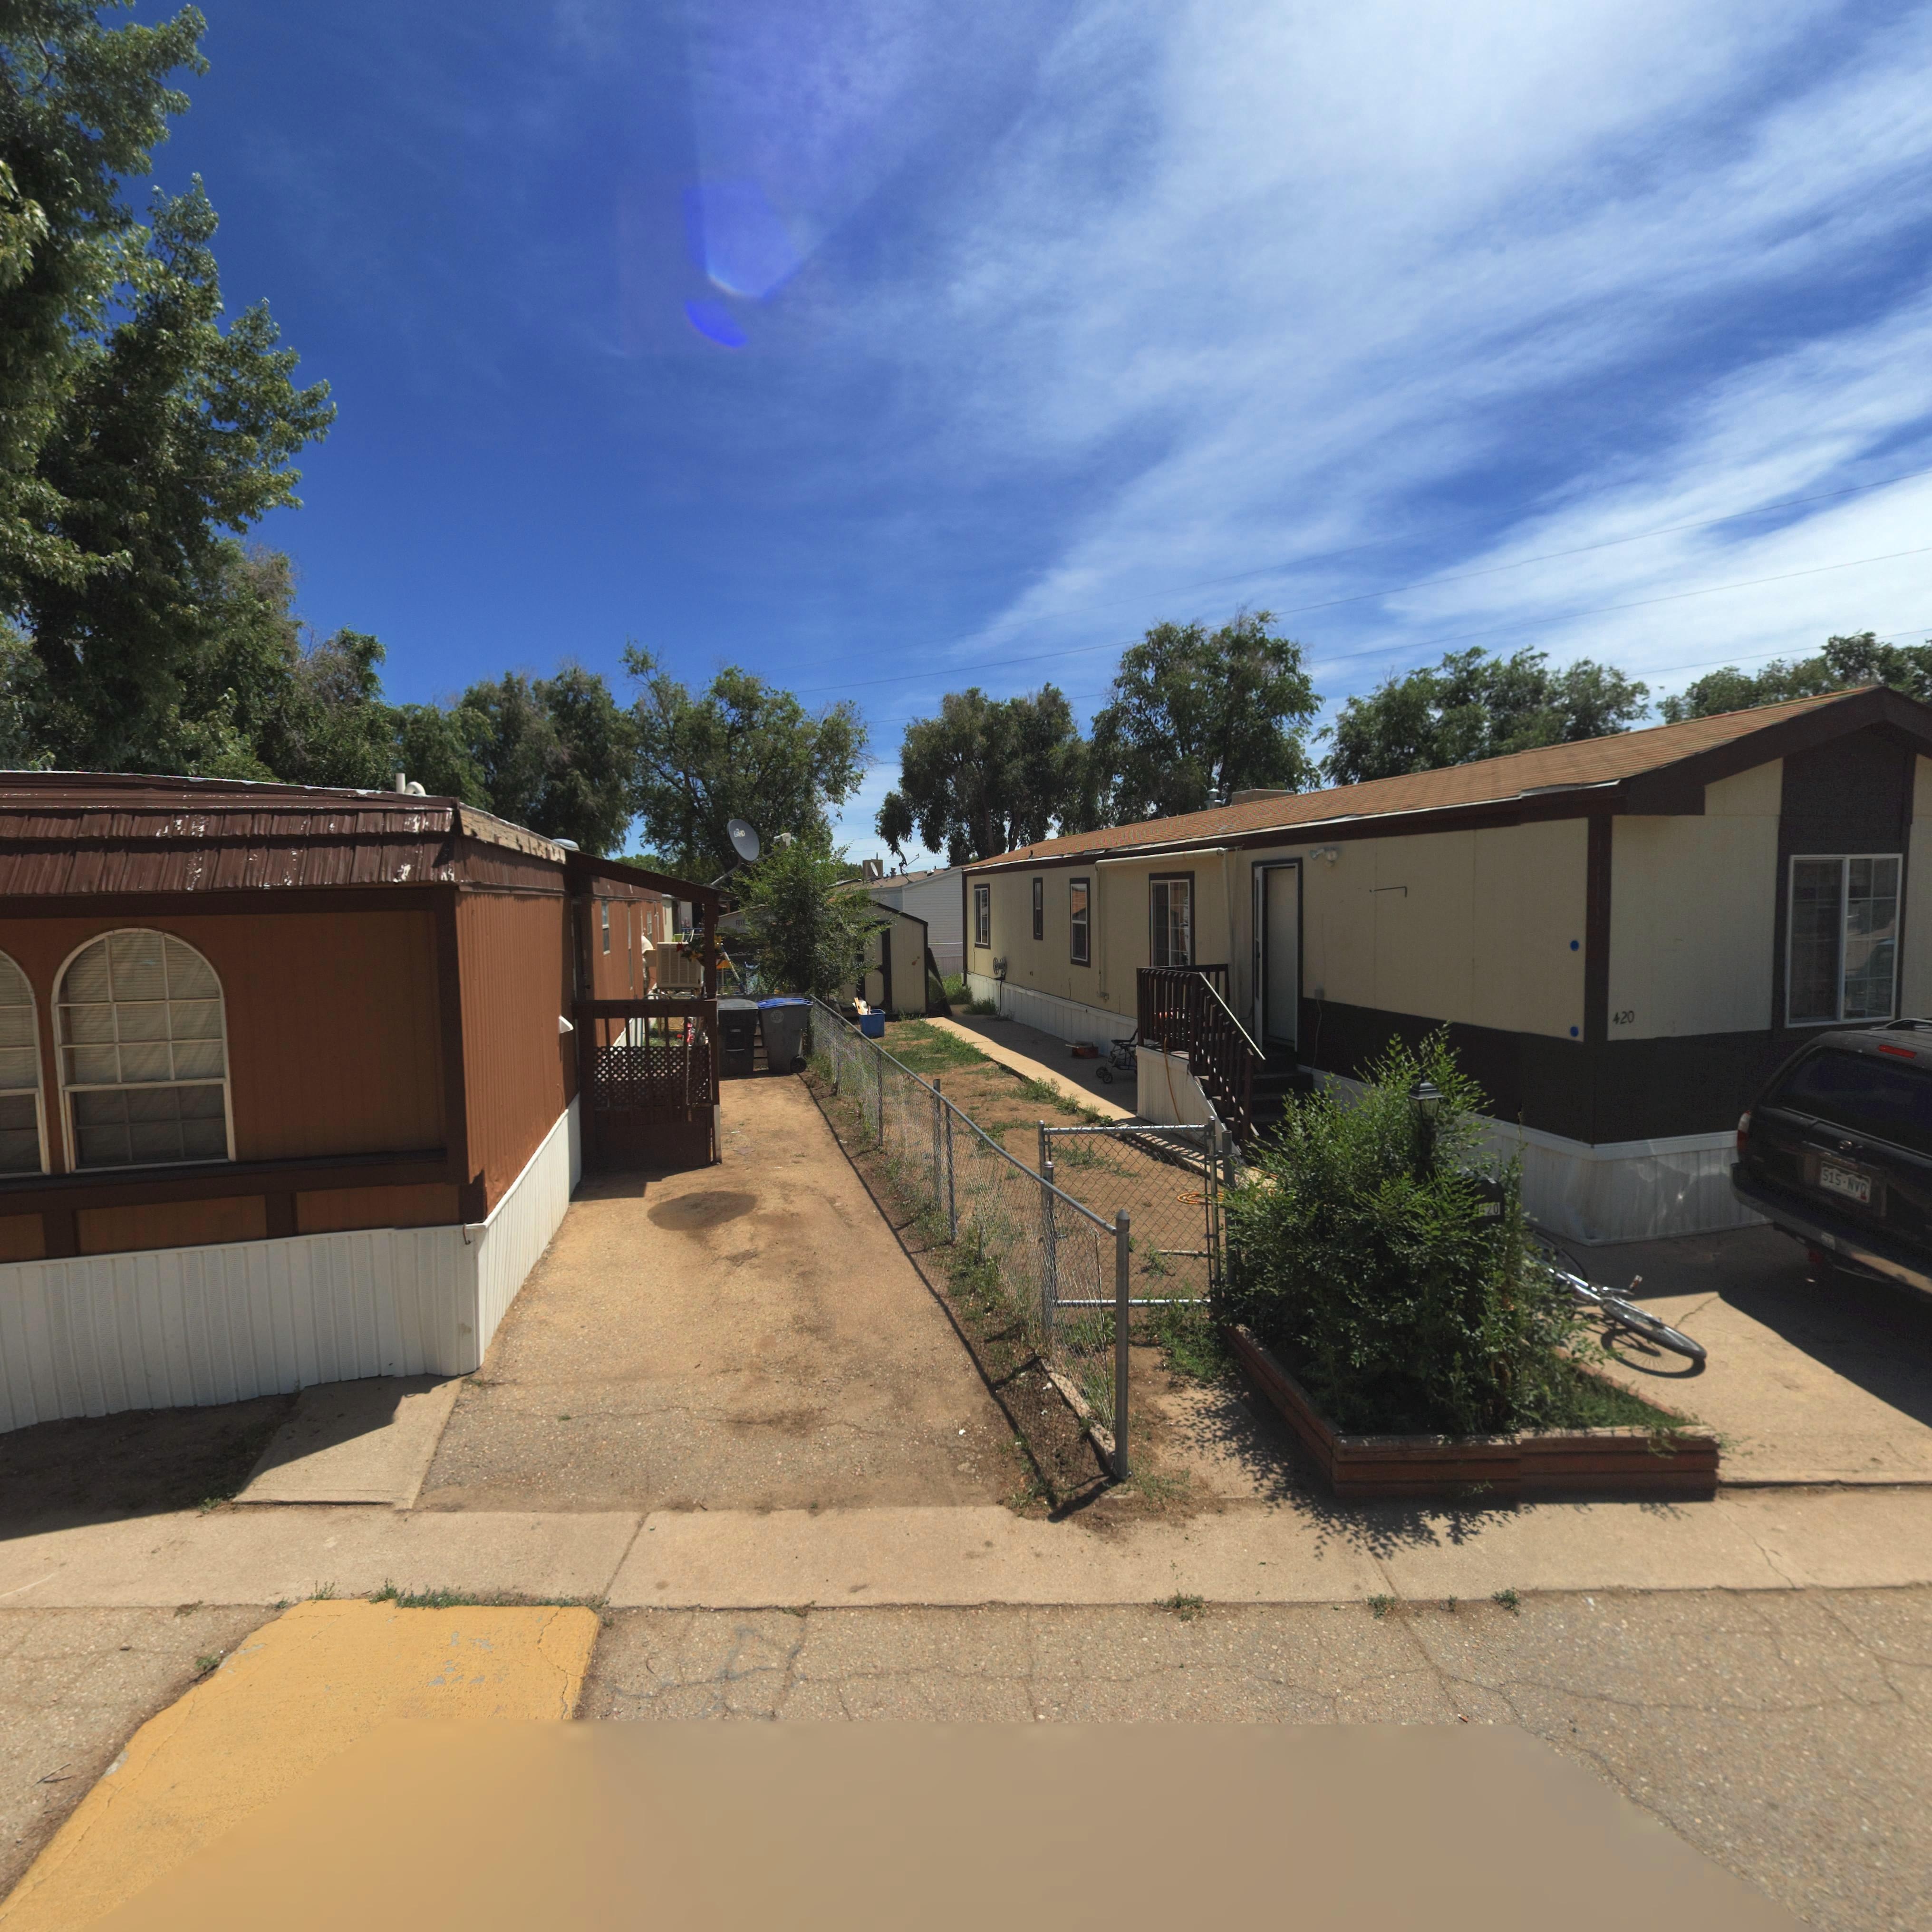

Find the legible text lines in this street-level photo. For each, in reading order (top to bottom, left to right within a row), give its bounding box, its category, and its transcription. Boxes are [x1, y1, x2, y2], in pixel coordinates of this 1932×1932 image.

[1612, 1010, 1634, 1024] StreetNumber: 420
[1478, 1202, 1499, 1215] StreetNumber: *20